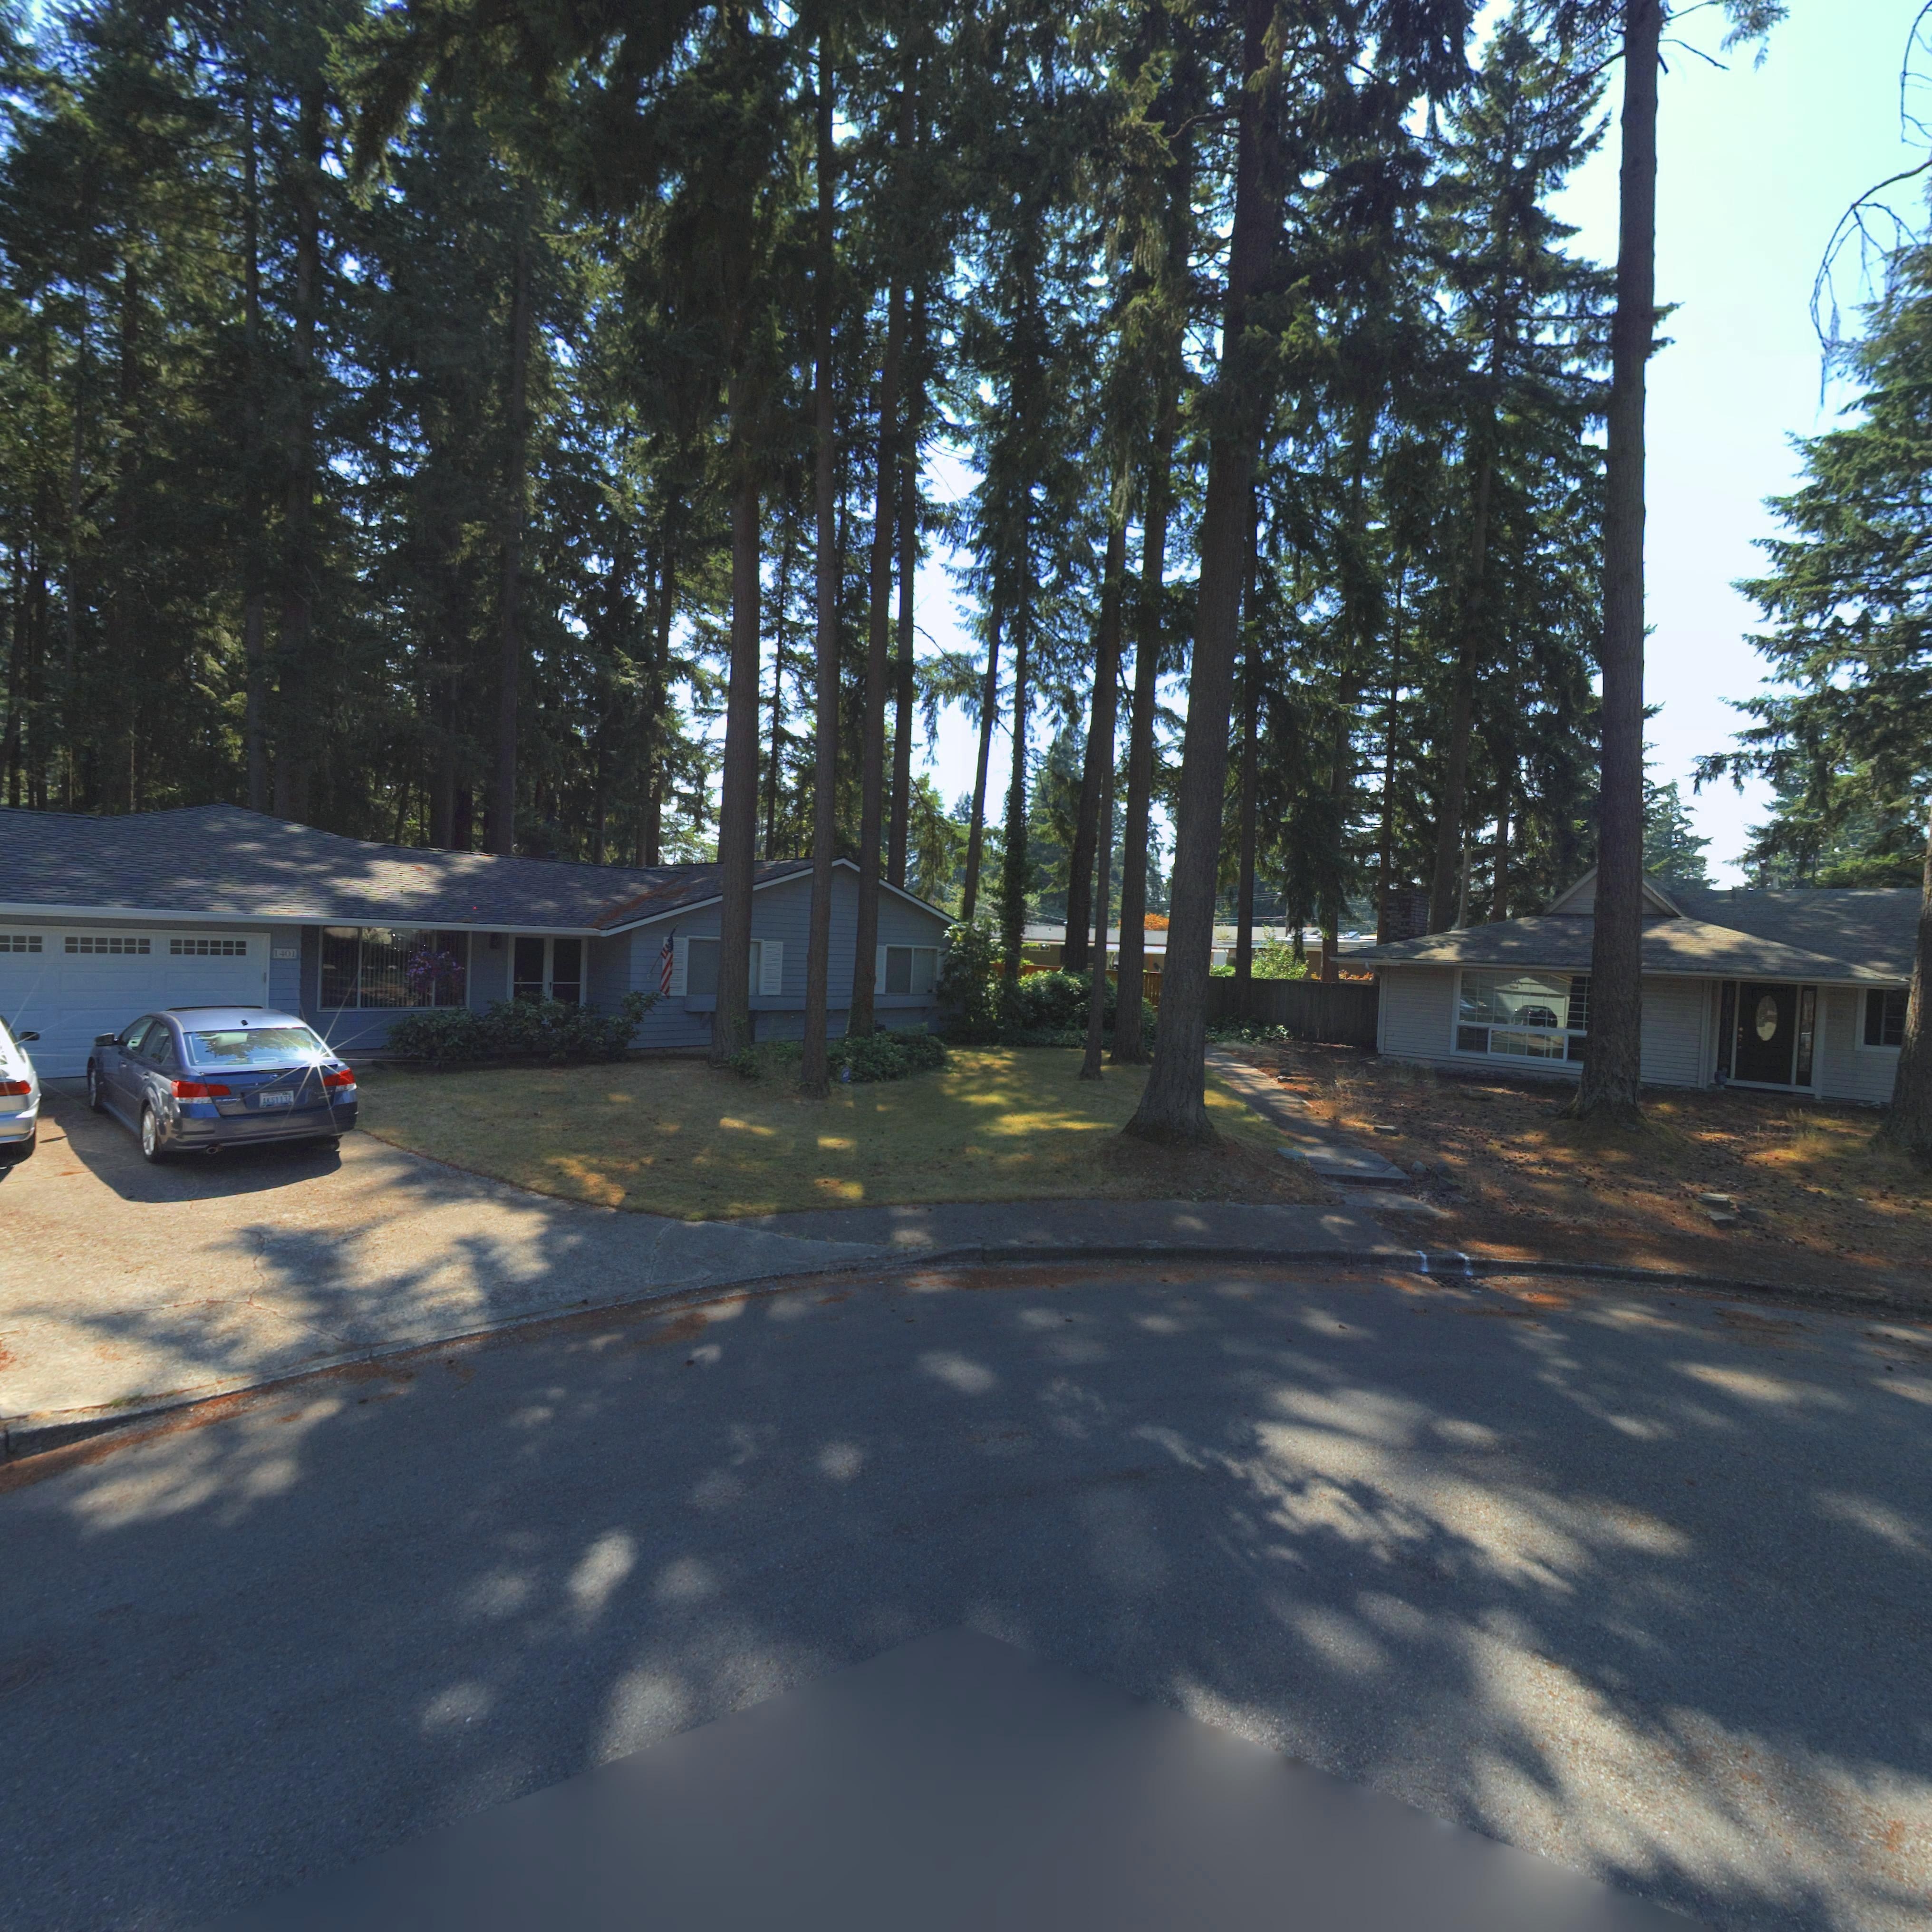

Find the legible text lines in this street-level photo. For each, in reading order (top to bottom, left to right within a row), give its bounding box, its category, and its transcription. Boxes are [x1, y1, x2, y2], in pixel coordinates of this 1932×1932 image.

[273, 948, 297, 958] StreetNumber: 1401